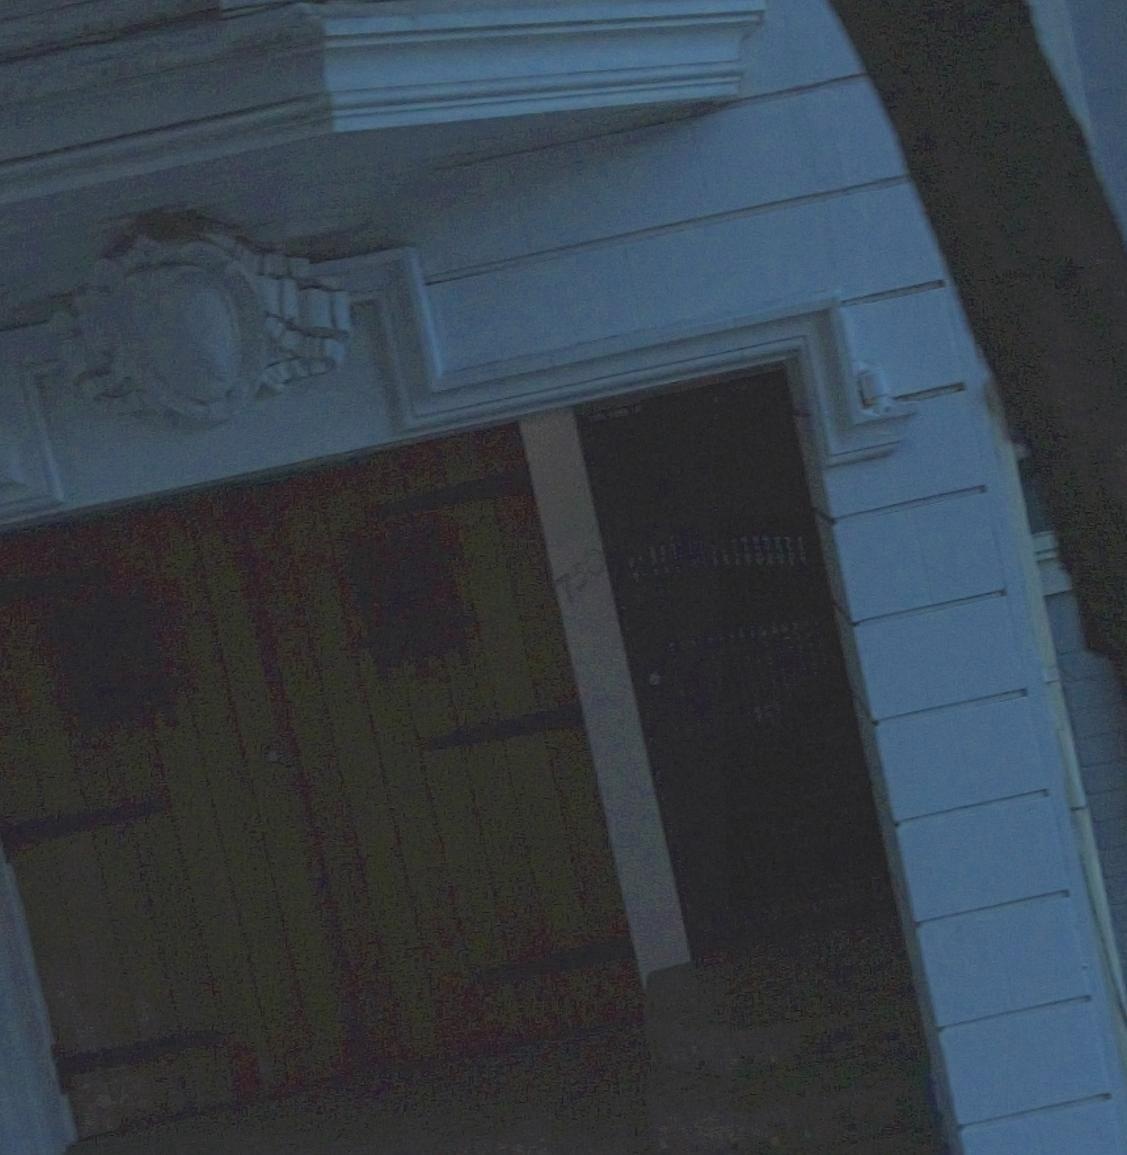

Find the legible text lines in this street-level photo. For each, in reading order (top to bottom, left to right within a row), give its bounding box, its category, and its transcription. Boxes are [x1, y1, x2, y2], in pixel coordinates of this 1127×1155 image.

[551, 539, 608, 614] StreetNumber: 750